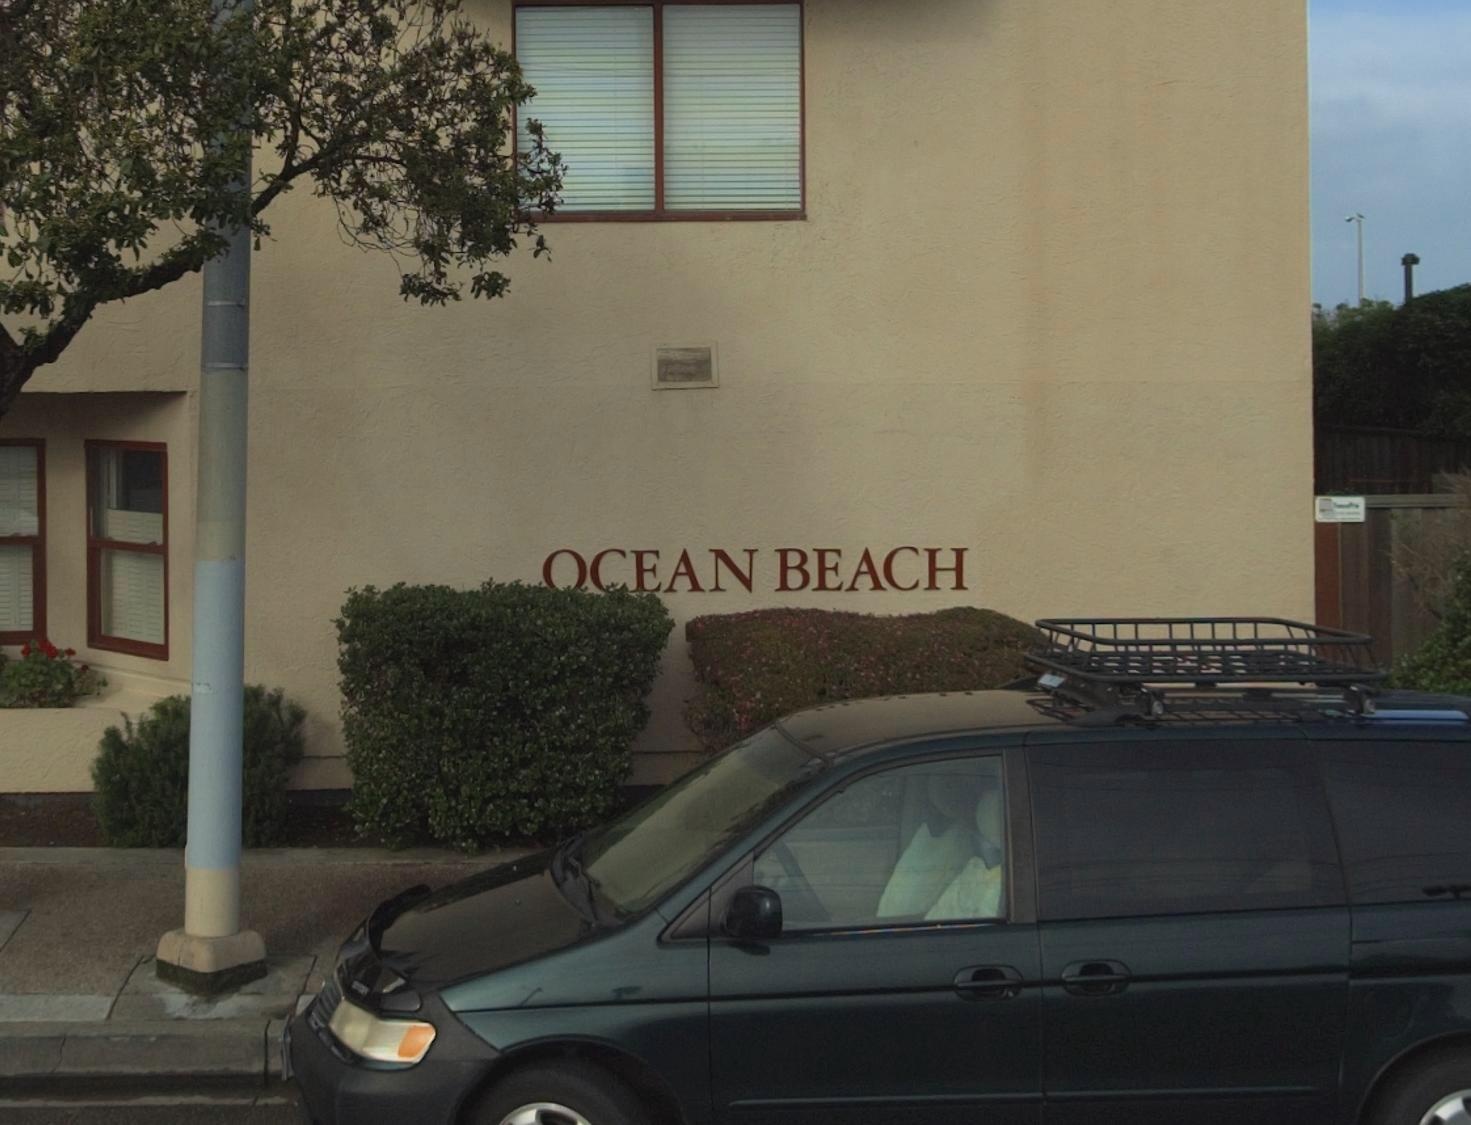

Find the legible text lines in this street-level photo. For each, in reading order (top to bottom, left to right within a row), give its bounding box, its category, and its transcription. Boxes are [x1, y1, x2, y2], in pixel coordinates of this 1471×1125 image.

[539, 544, 971, 597] BusinessName: OCEAN BEACH